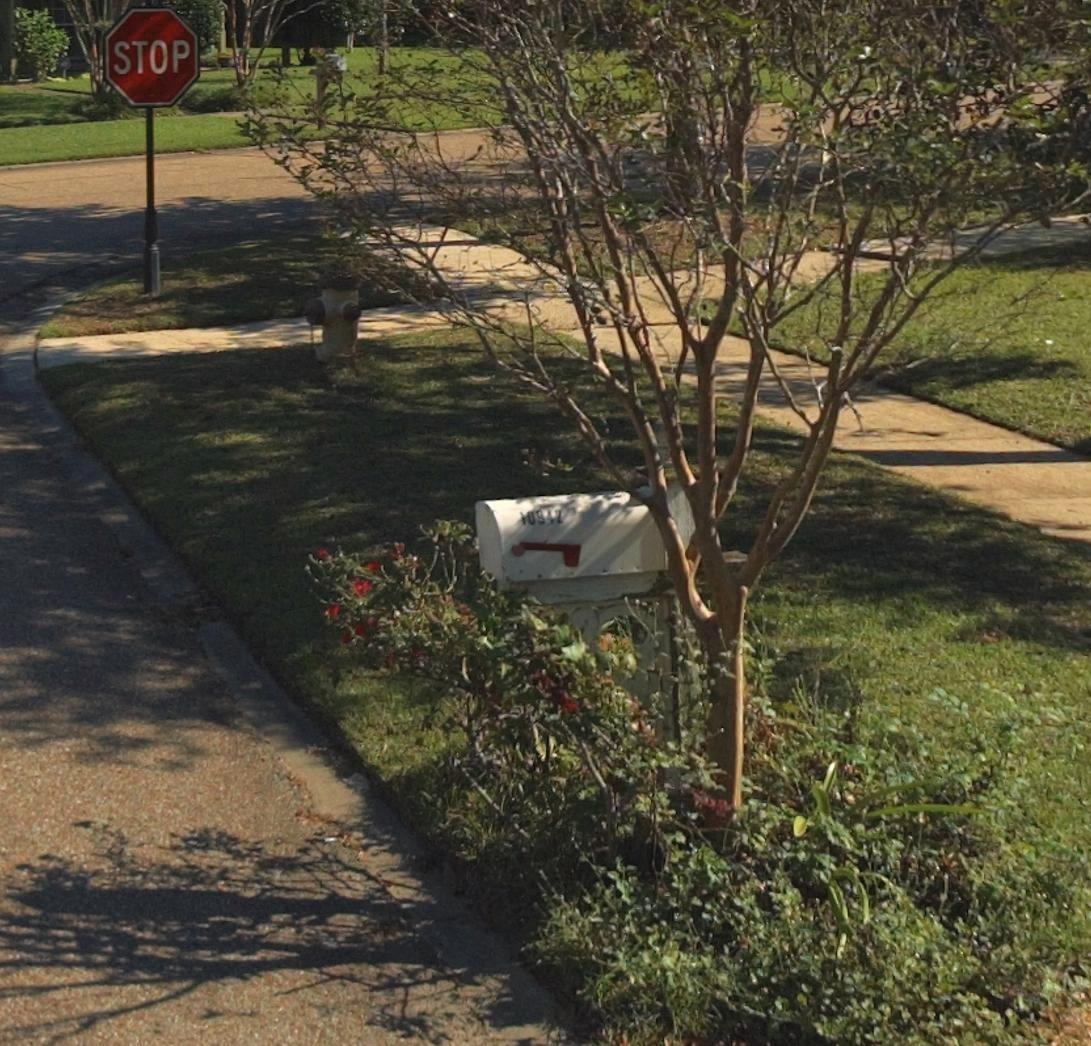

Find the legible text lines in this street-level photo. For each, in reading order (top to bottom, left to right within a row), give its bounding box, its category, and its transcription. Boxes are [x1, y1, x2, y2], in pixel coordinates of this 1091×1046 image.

[112, 39, 191, 75] None: STOP
[518, 508, 564, 526] StreetNumber: 10942